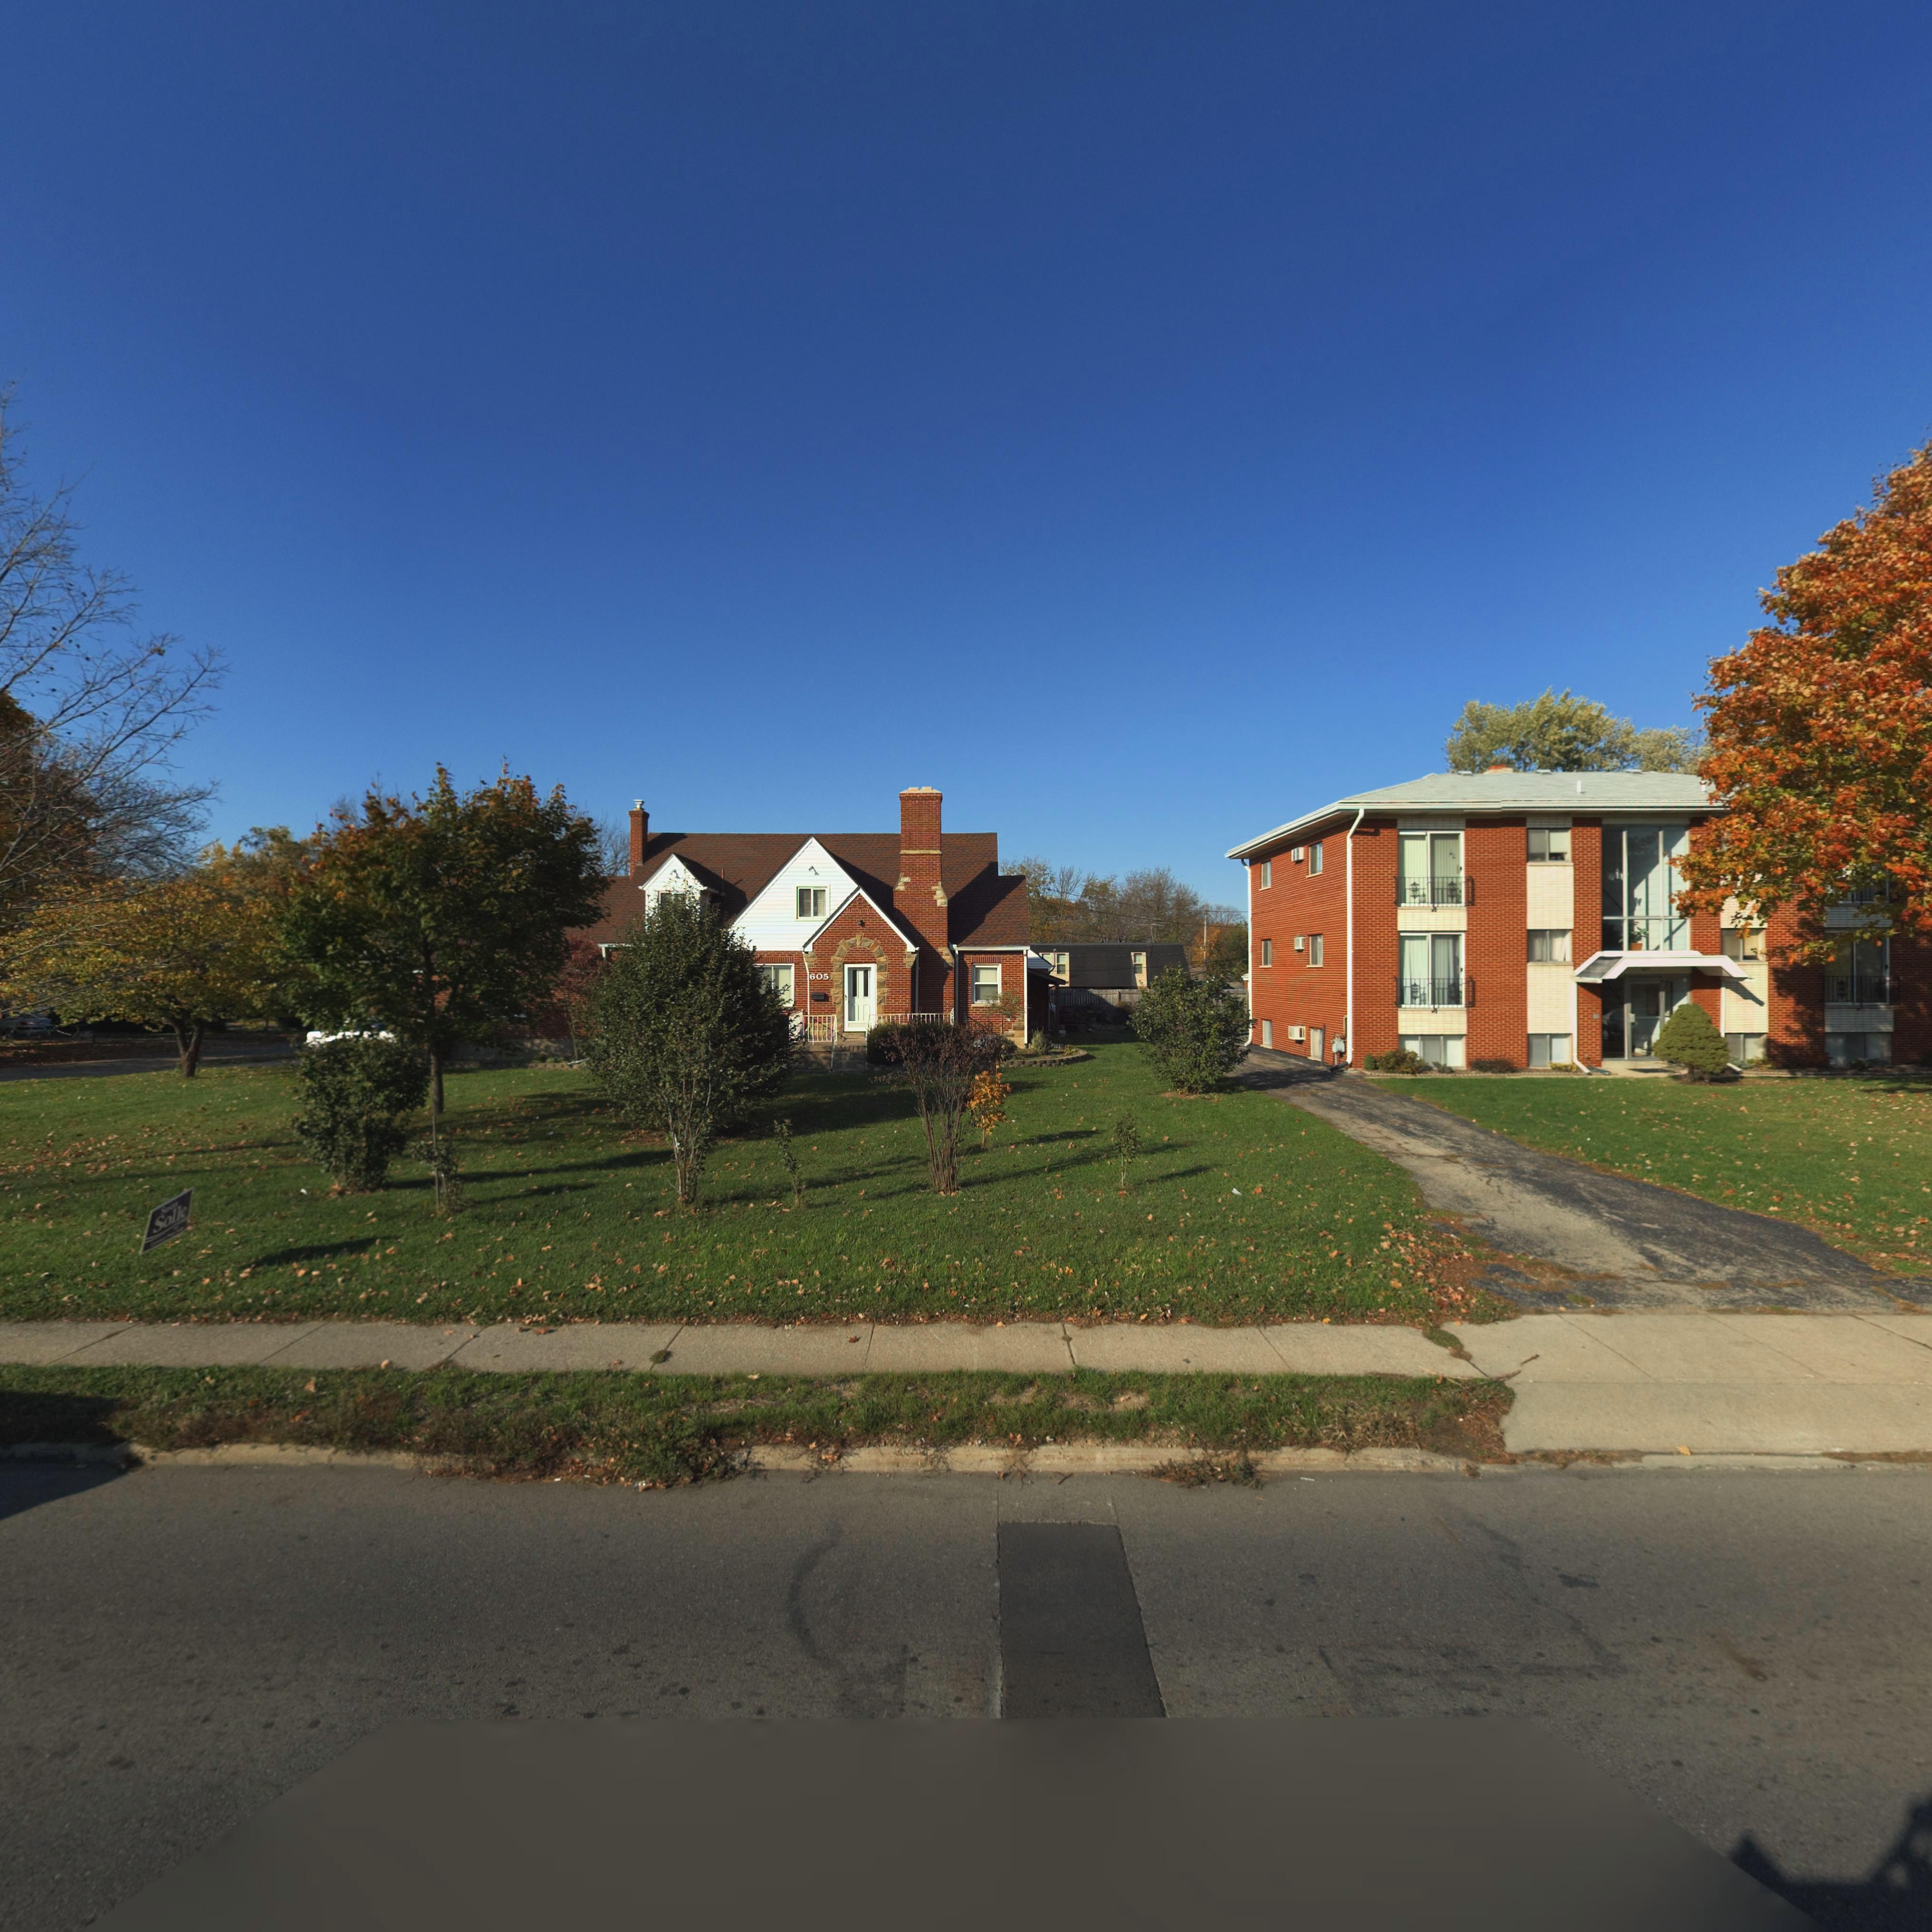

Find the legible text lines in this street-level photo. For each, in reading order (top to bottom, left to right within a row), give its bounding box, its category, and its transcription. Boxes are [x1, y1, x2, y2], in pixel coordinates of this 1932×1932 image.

[809, 973, 829, 980] StreetNumber: 605